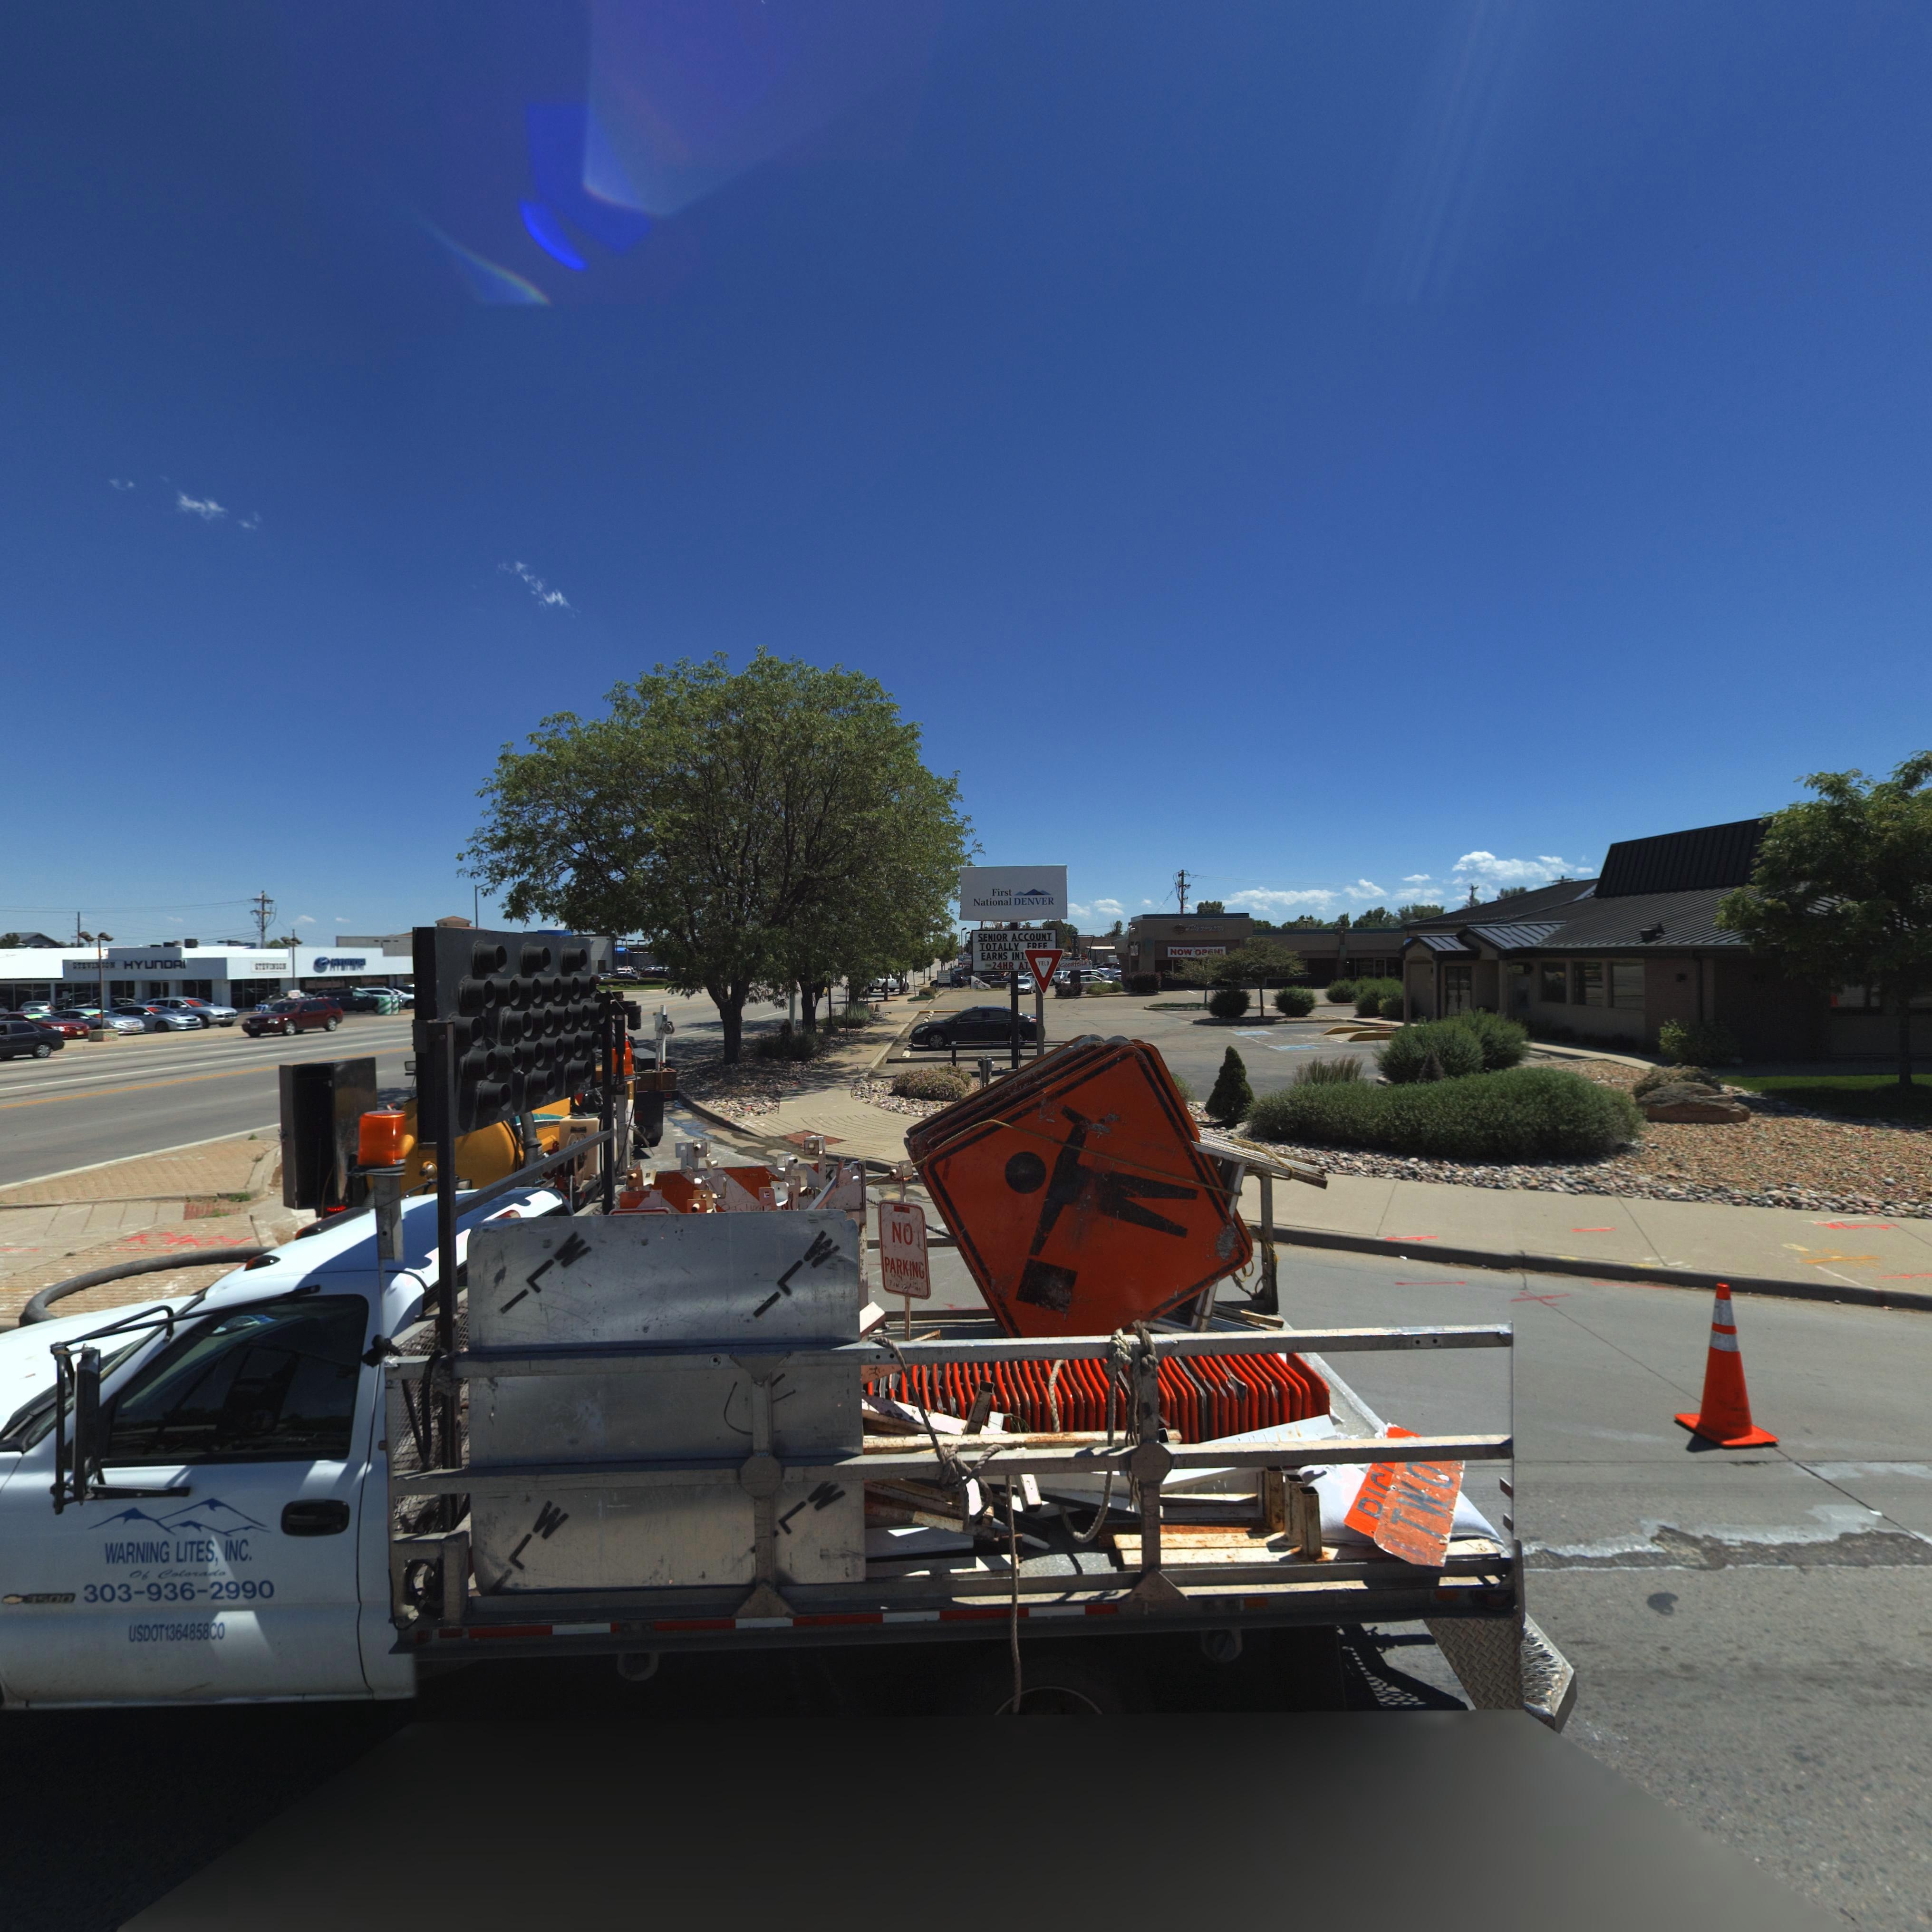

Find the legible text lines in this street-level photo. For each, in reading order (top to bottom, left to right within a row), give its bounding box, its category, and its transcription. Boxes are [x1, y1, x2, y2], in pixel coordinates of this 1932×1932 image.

[991, 888, 1012, 896] BusinessName: First
[973, 897, 1054, 906] BusinessName: National DENVER
[1188, 923, 1225, 932] BusinessName: Ph*****y
[71, 961, 116, 969] BusinessName: STEVI**ON
[123, 959, 187, 970] BusinessName: HYUNDAI
[254, 962, 287, 970] BusinessName: STEV**S**
[331, 957, 366, 966] BusinessName: HYUNDAI
[1060, 959, 1092, 968] BusinessName: Goodfella's